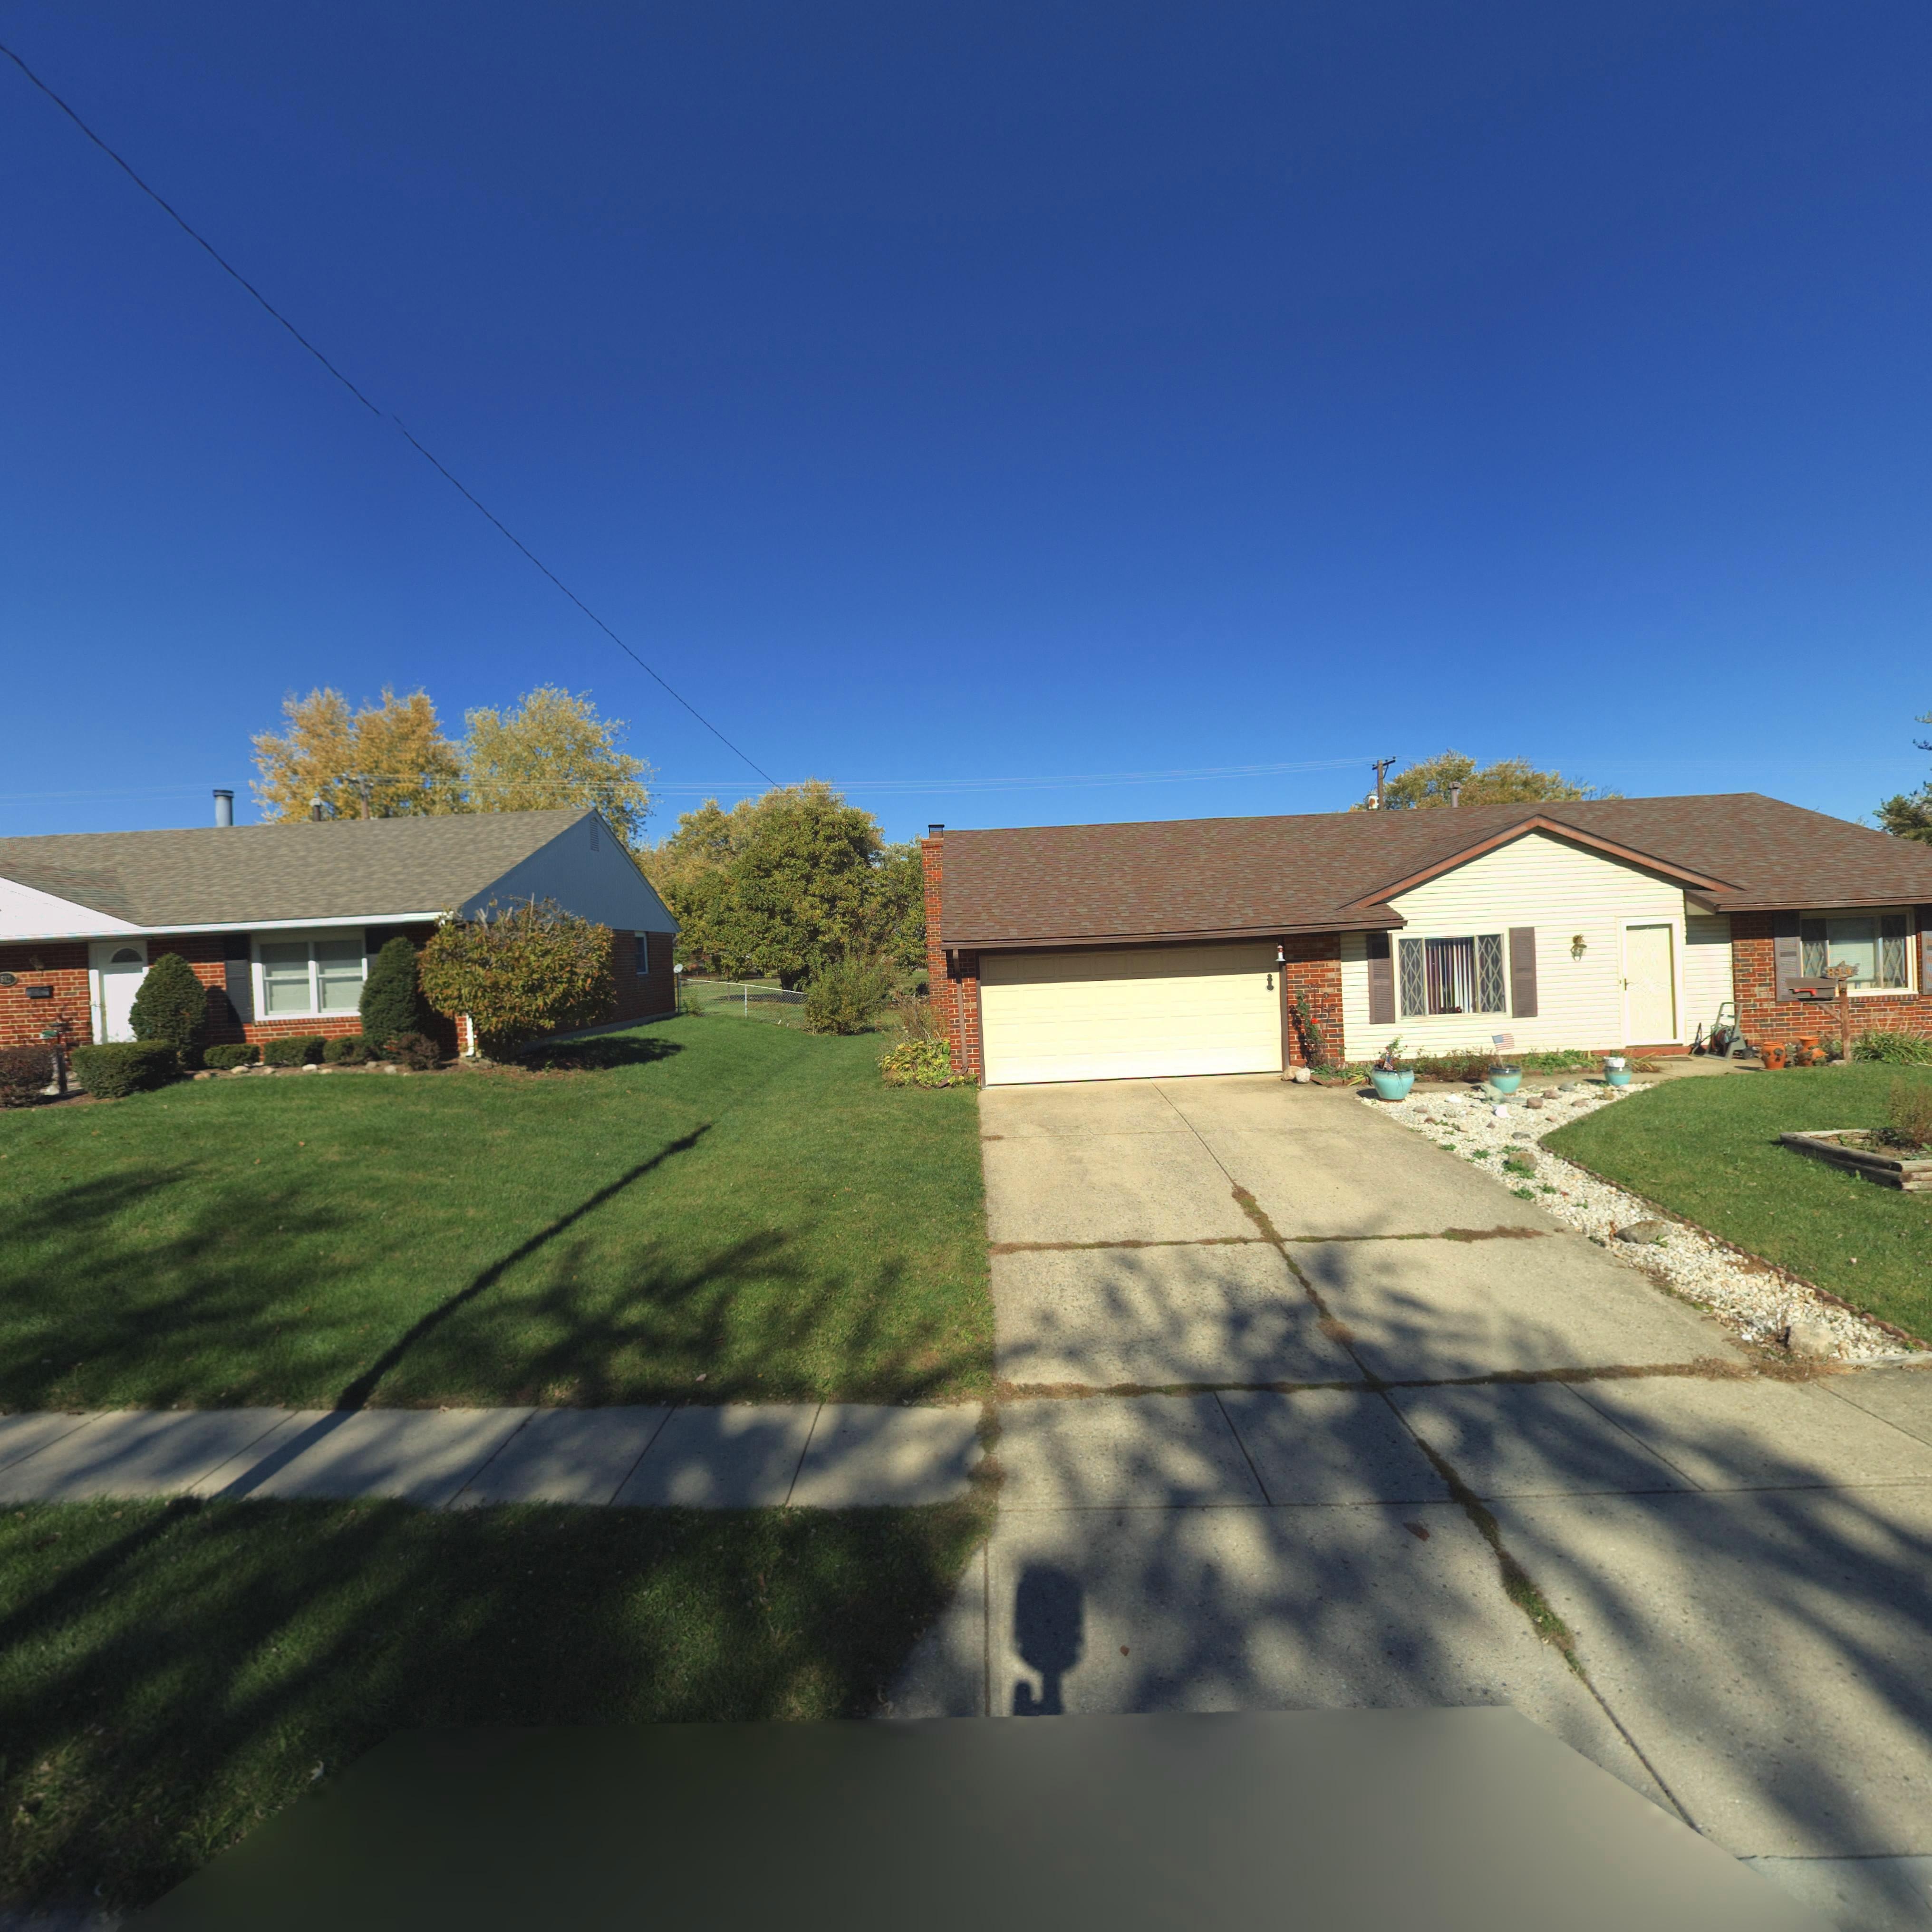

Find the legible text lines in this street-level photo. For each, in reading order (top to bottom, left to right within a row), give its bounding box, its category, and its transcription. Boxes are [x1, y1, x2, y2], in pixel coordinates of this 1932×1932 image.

[1826, 965, 1853, 978] StreetNumber: 814
[0, 975, 11, 983] StreetNumber: 812